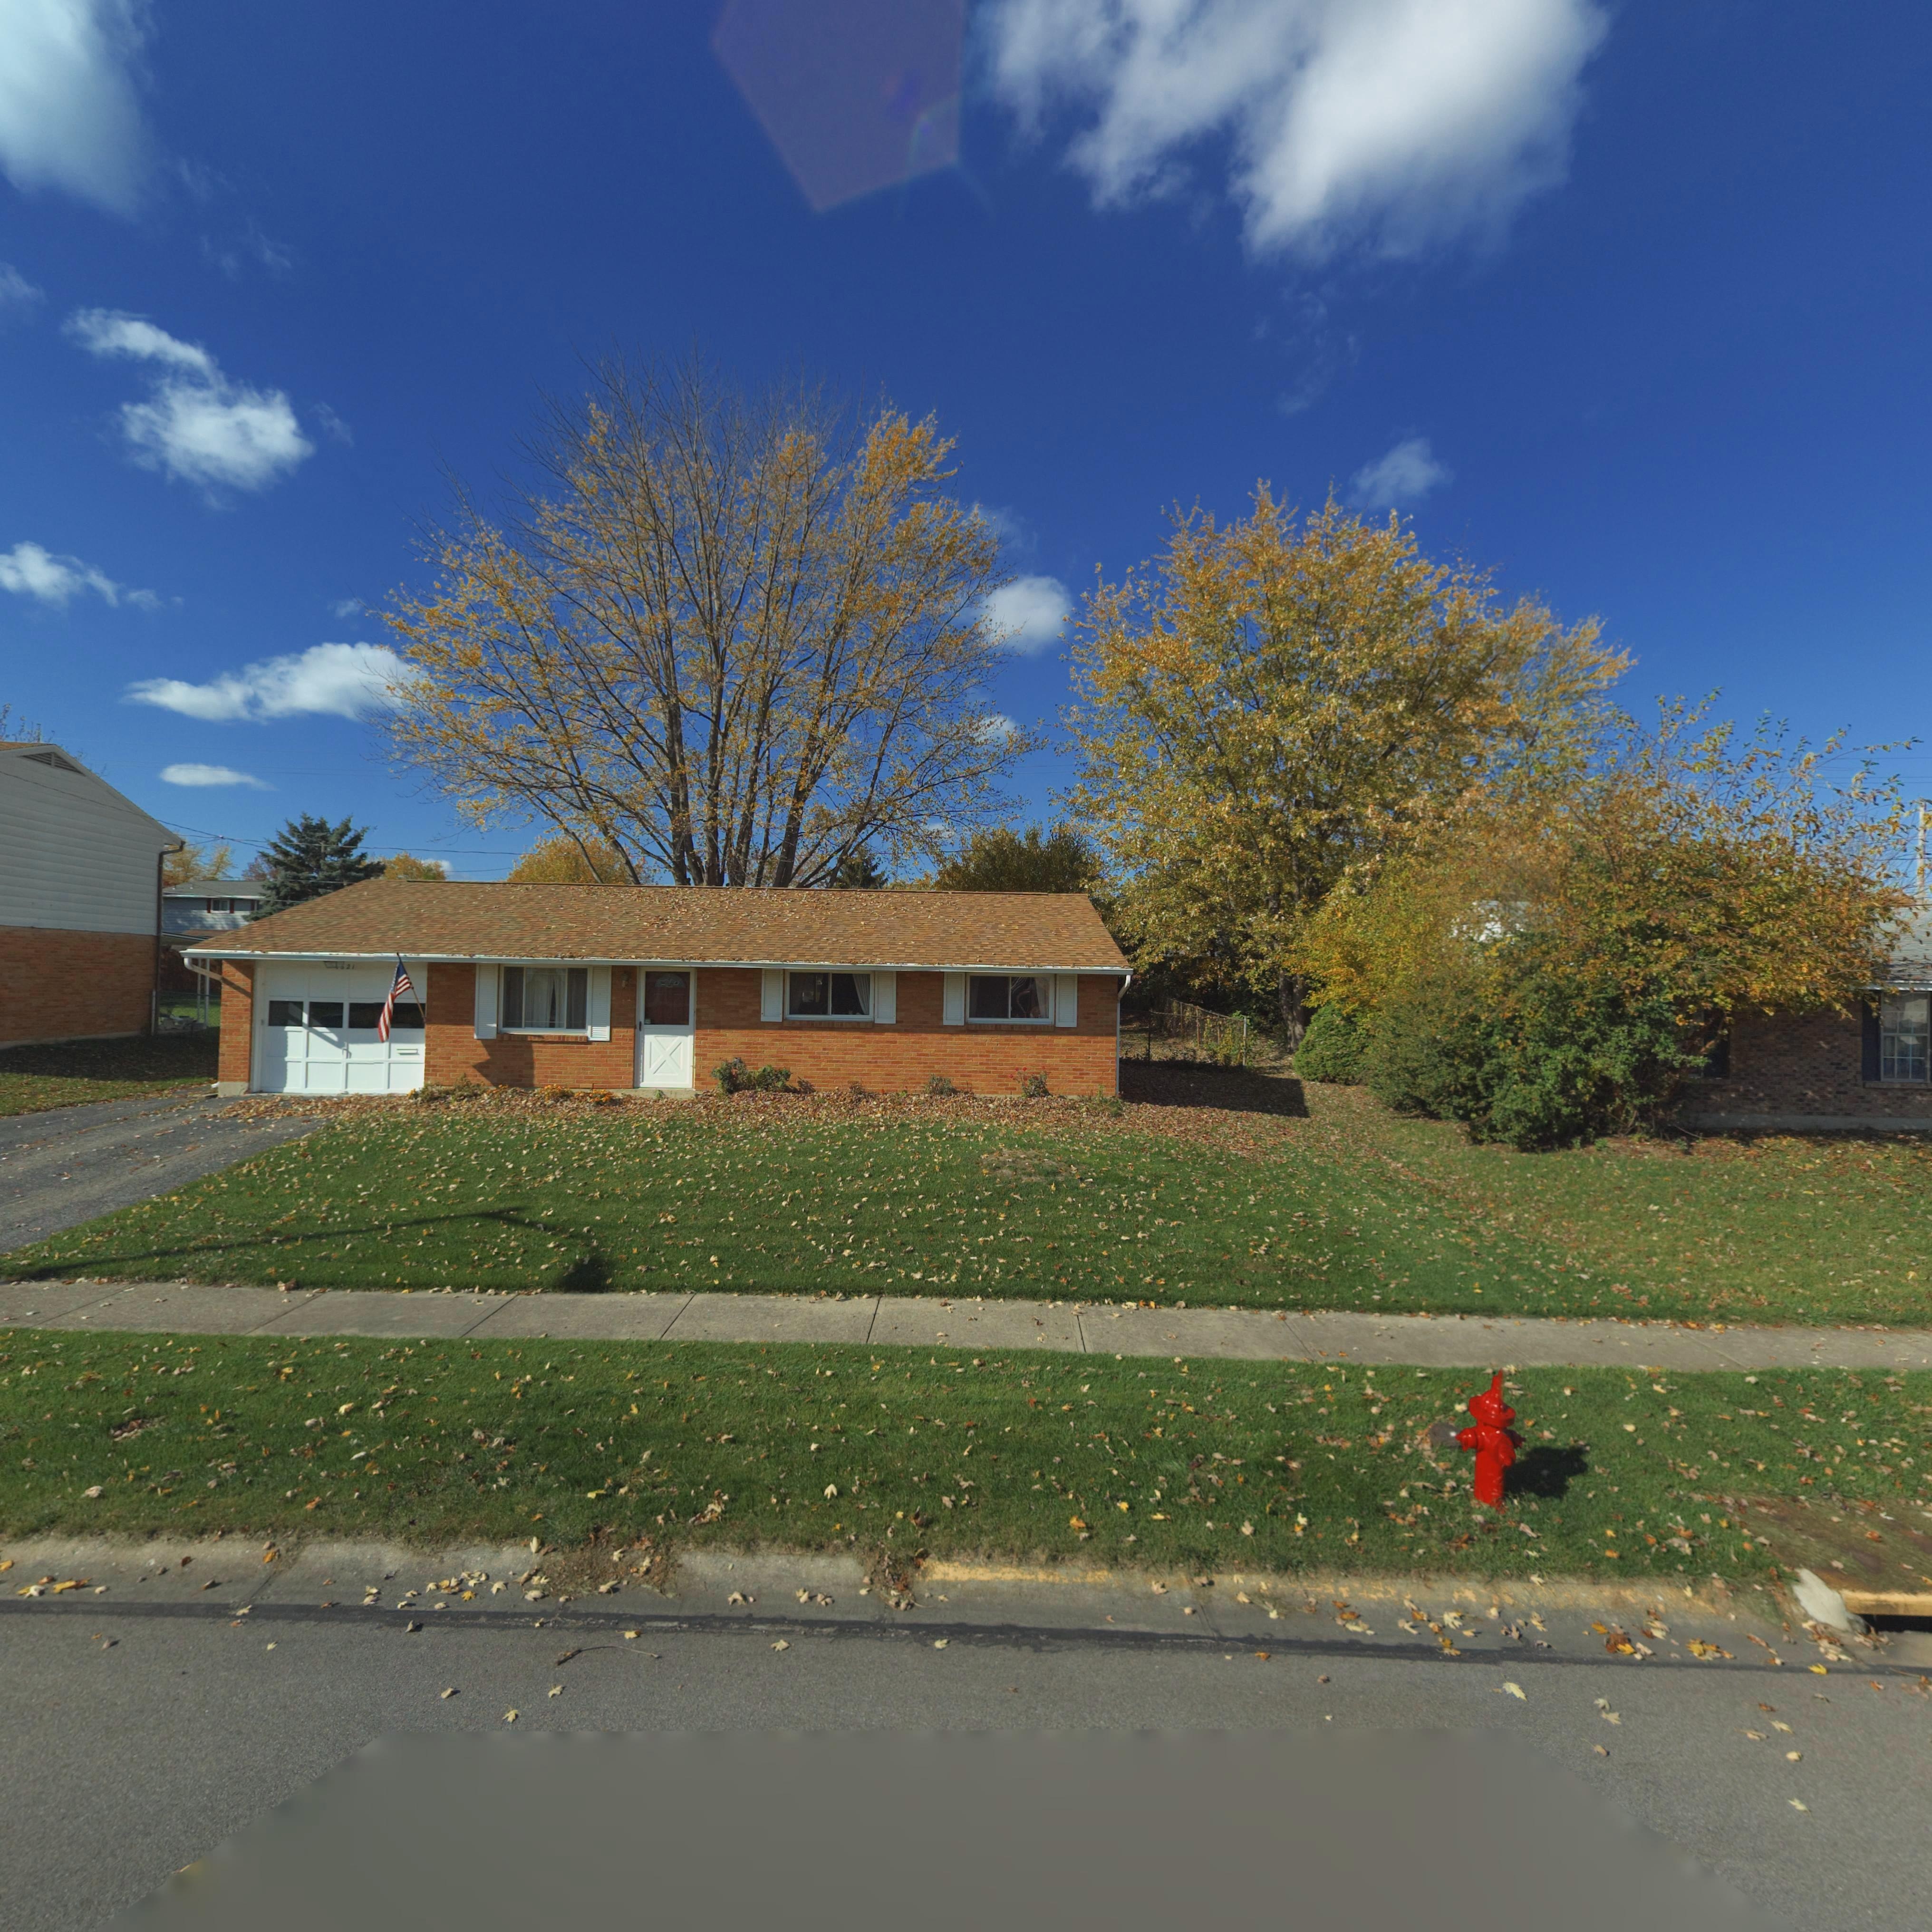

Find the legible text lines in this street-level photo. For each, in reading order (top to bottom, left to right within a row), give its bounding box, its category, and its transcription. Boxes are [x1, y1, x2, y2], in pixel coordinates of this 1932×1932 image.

[345, 963, 356, 970] StreetNumber: 21